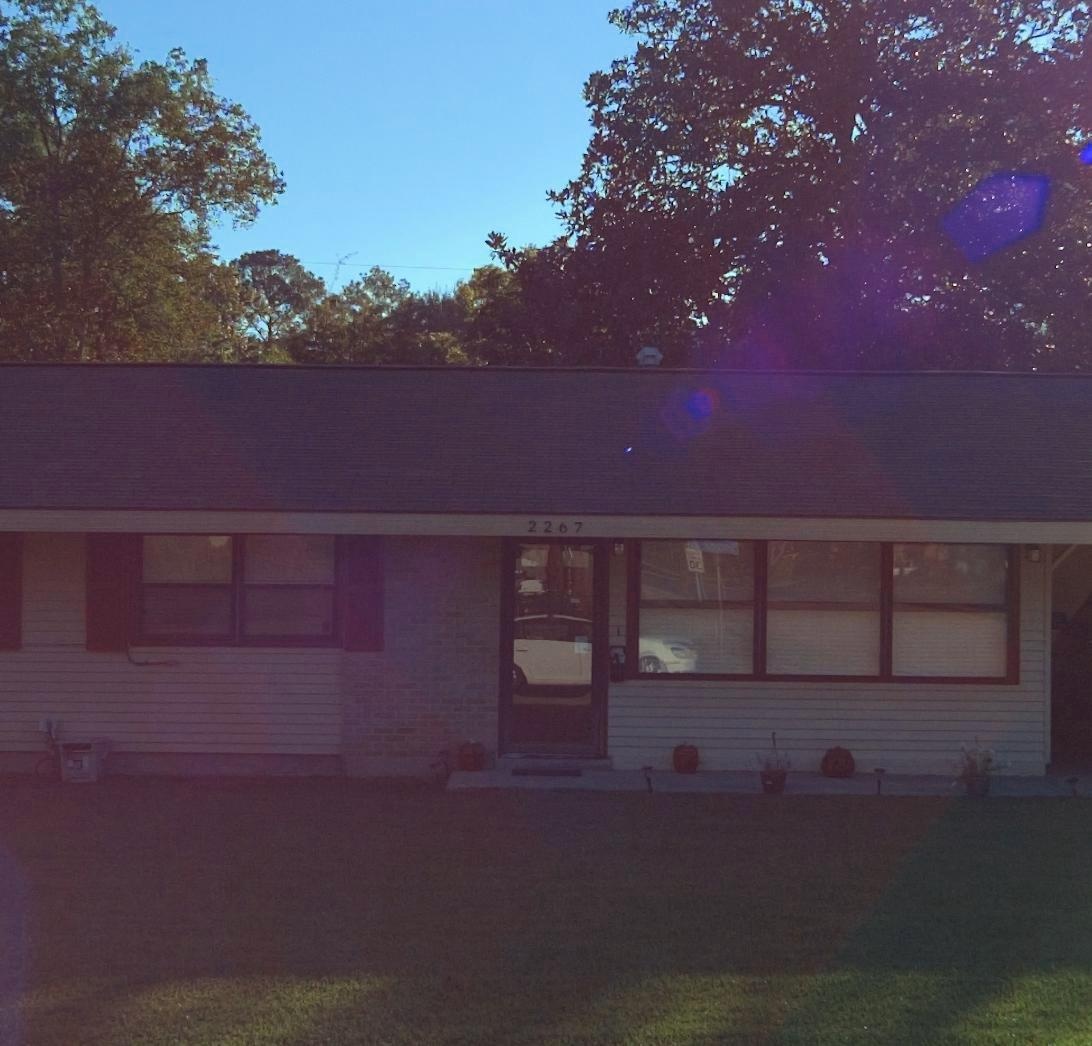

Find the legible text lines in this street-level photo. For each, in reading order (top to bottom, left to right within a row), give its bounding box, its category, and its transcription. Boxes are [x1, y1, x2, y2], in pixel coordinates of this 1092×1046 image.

[526, 518, 585, 536] StreetNumber: 2267
[688, 559, 703, 571] None: 0*